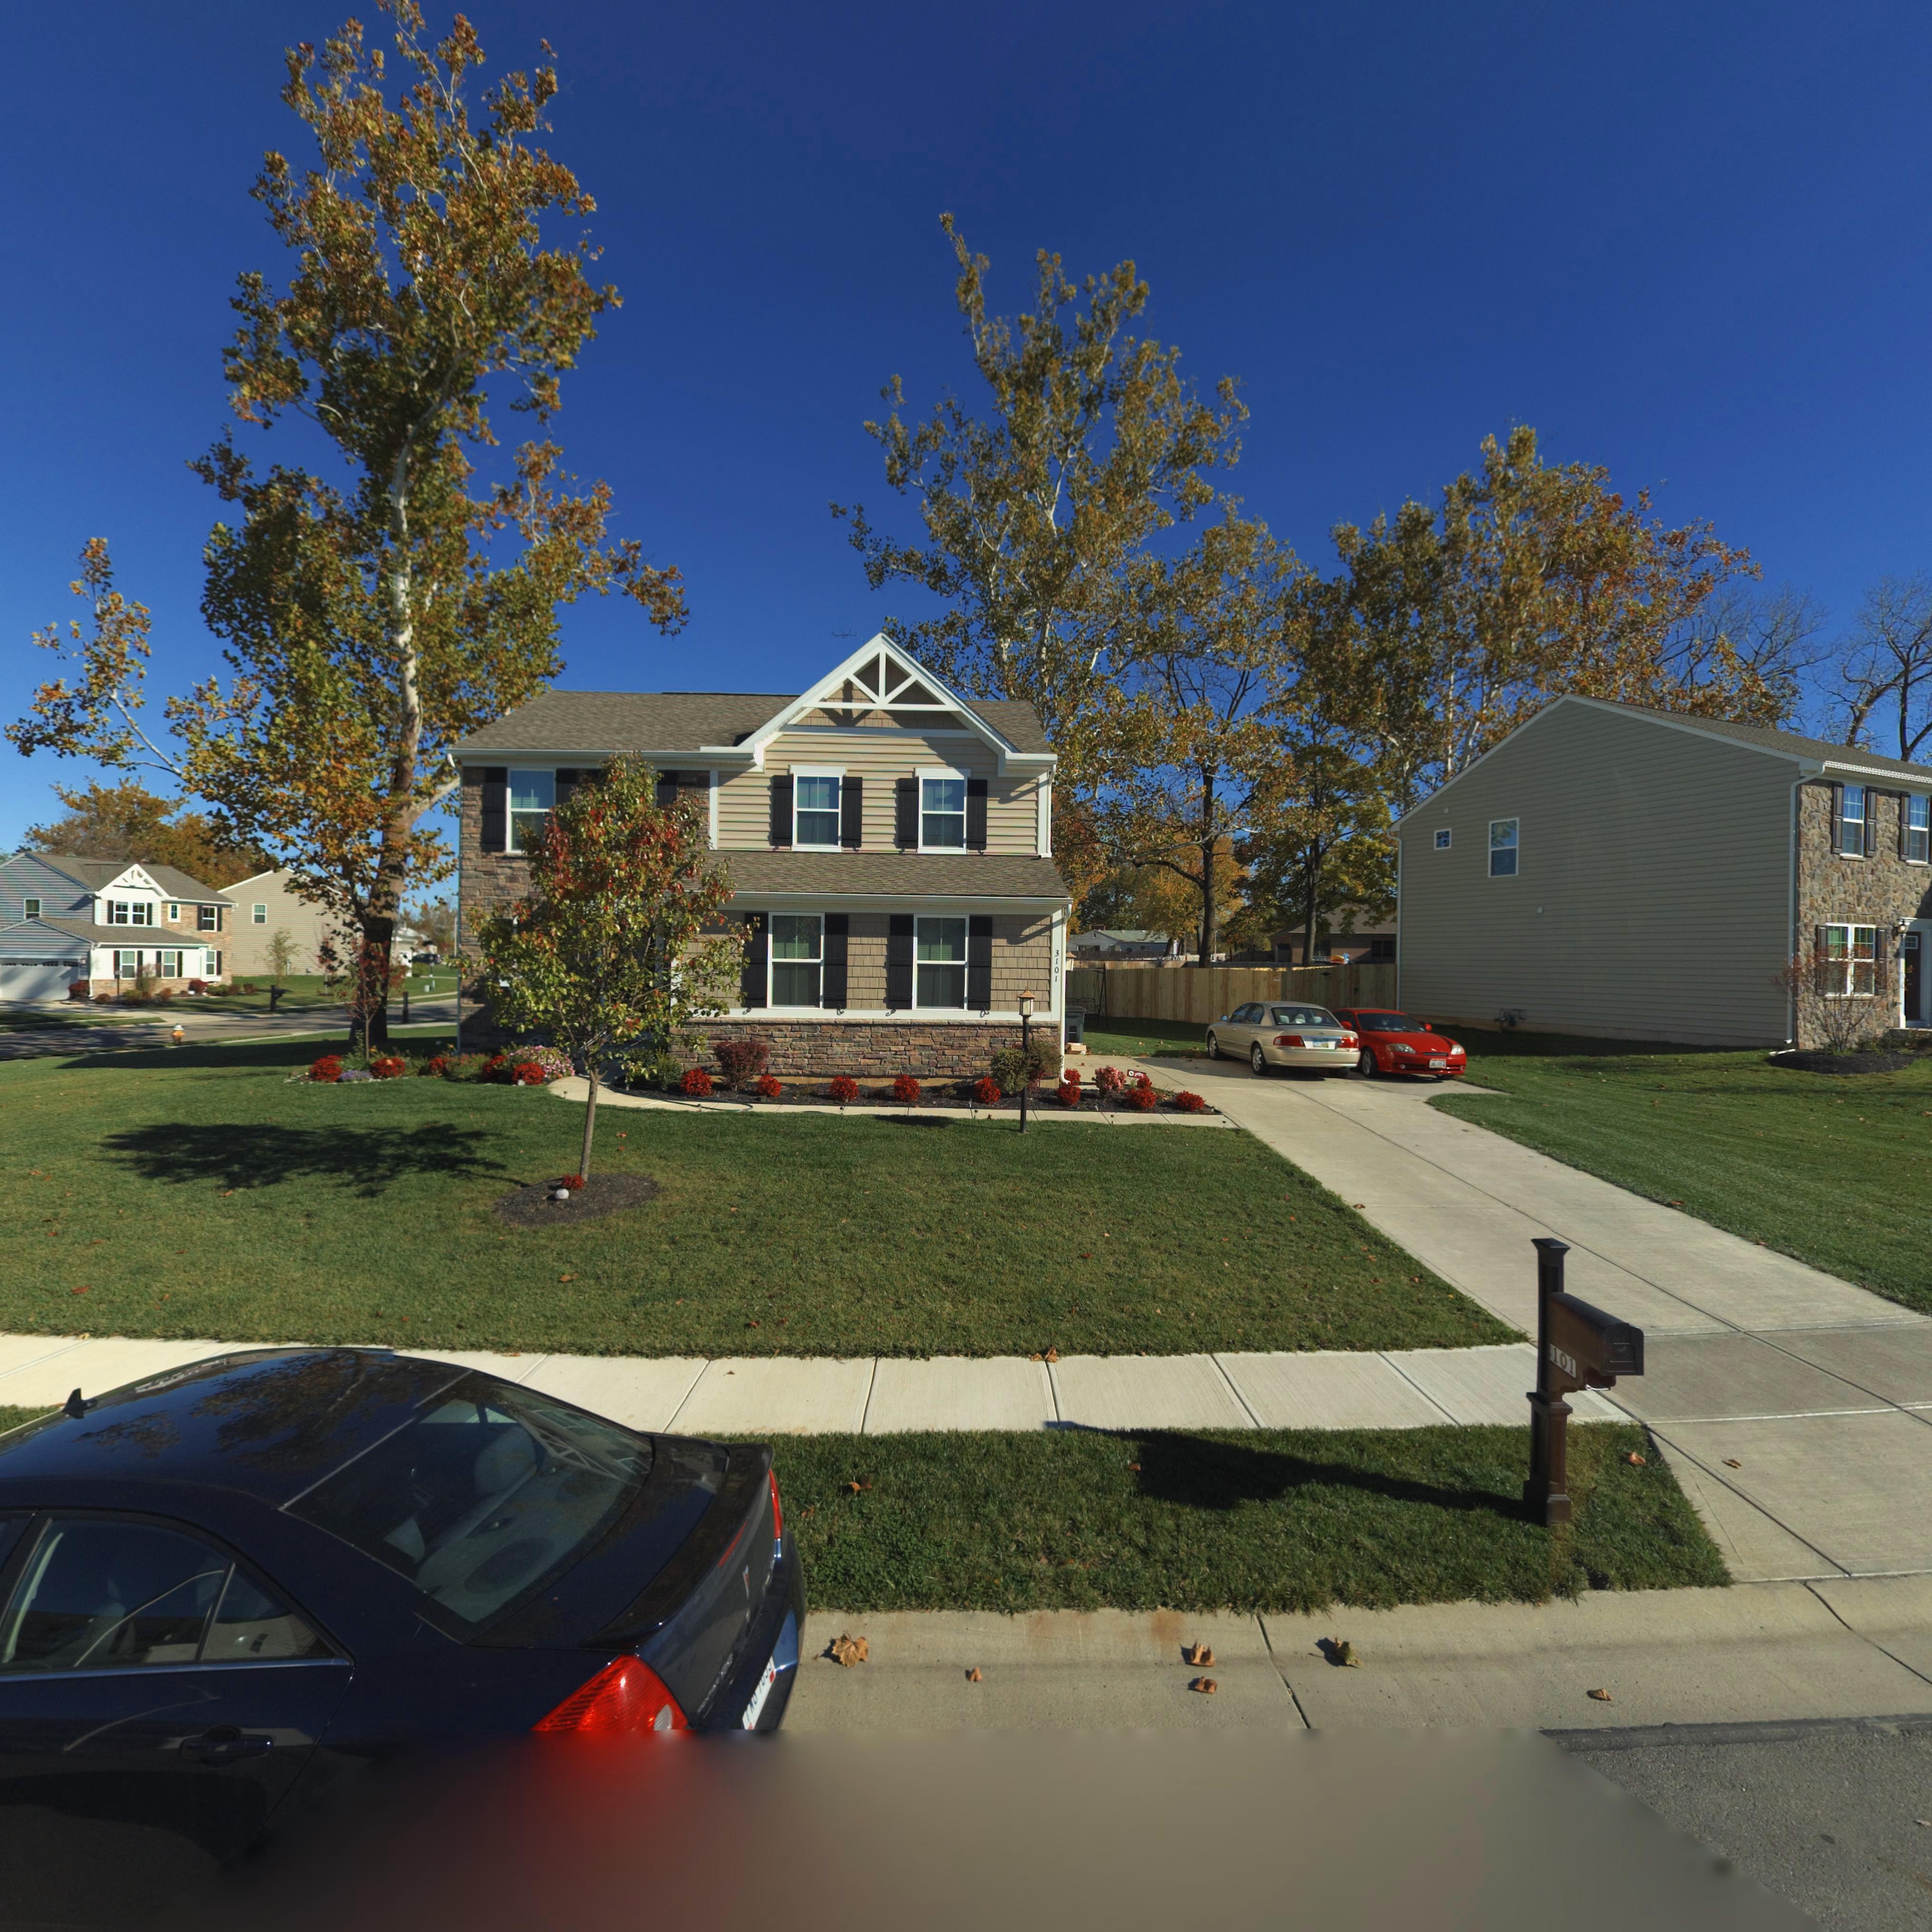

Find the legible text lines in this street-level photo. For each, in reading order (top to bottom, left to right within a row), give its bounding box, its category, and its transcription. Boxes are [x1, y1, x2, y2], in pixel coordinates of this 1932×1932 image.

[1054, 949, 1059, 982] StreetNumber: 3101
[1553, 1346, 1575, 1377] StreetNumber: 101